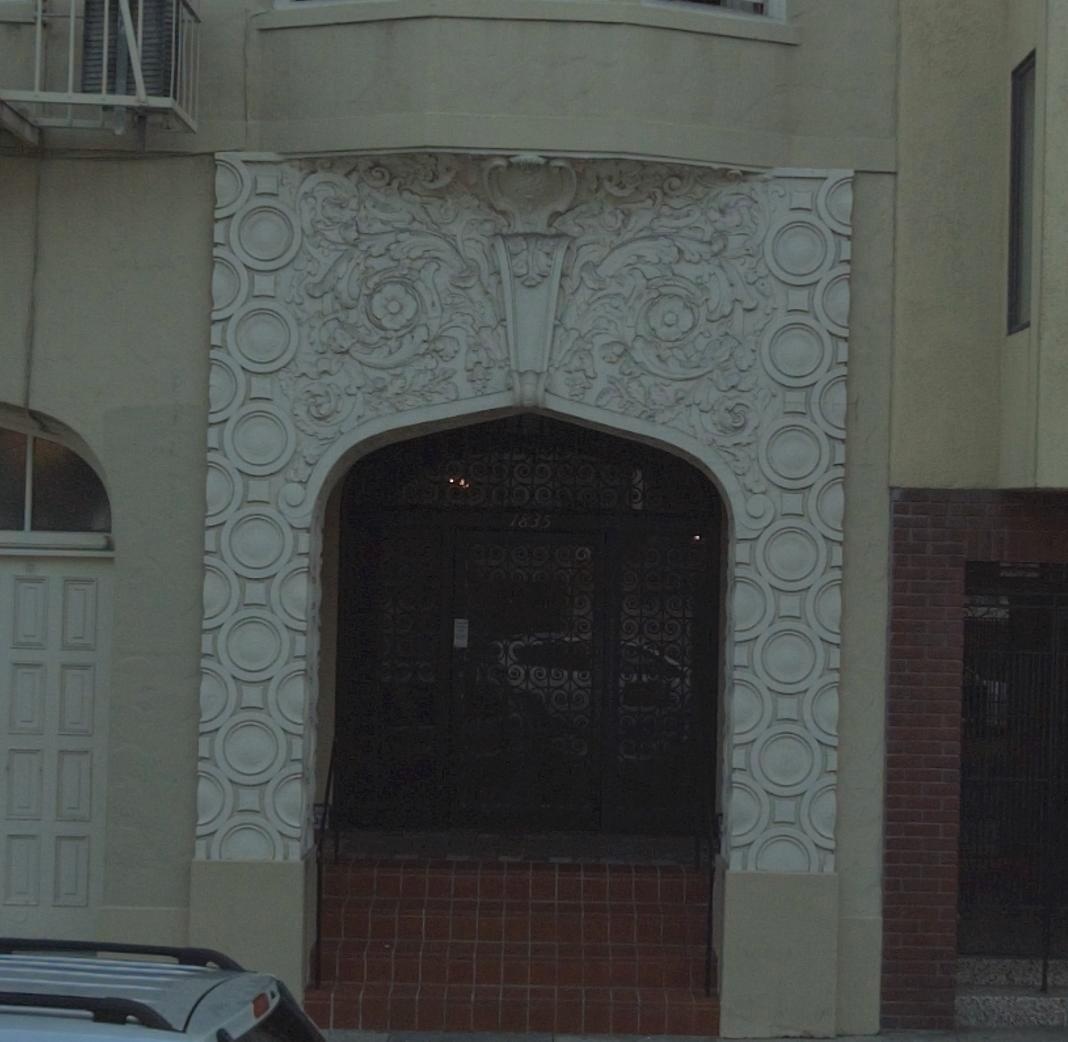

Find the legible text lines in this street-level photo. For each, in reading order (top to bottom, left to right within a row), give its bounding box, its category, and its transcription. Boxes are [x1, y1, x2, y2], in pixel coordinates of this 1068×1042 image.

[505, 510, 555, 531] StreetNumber: 1835